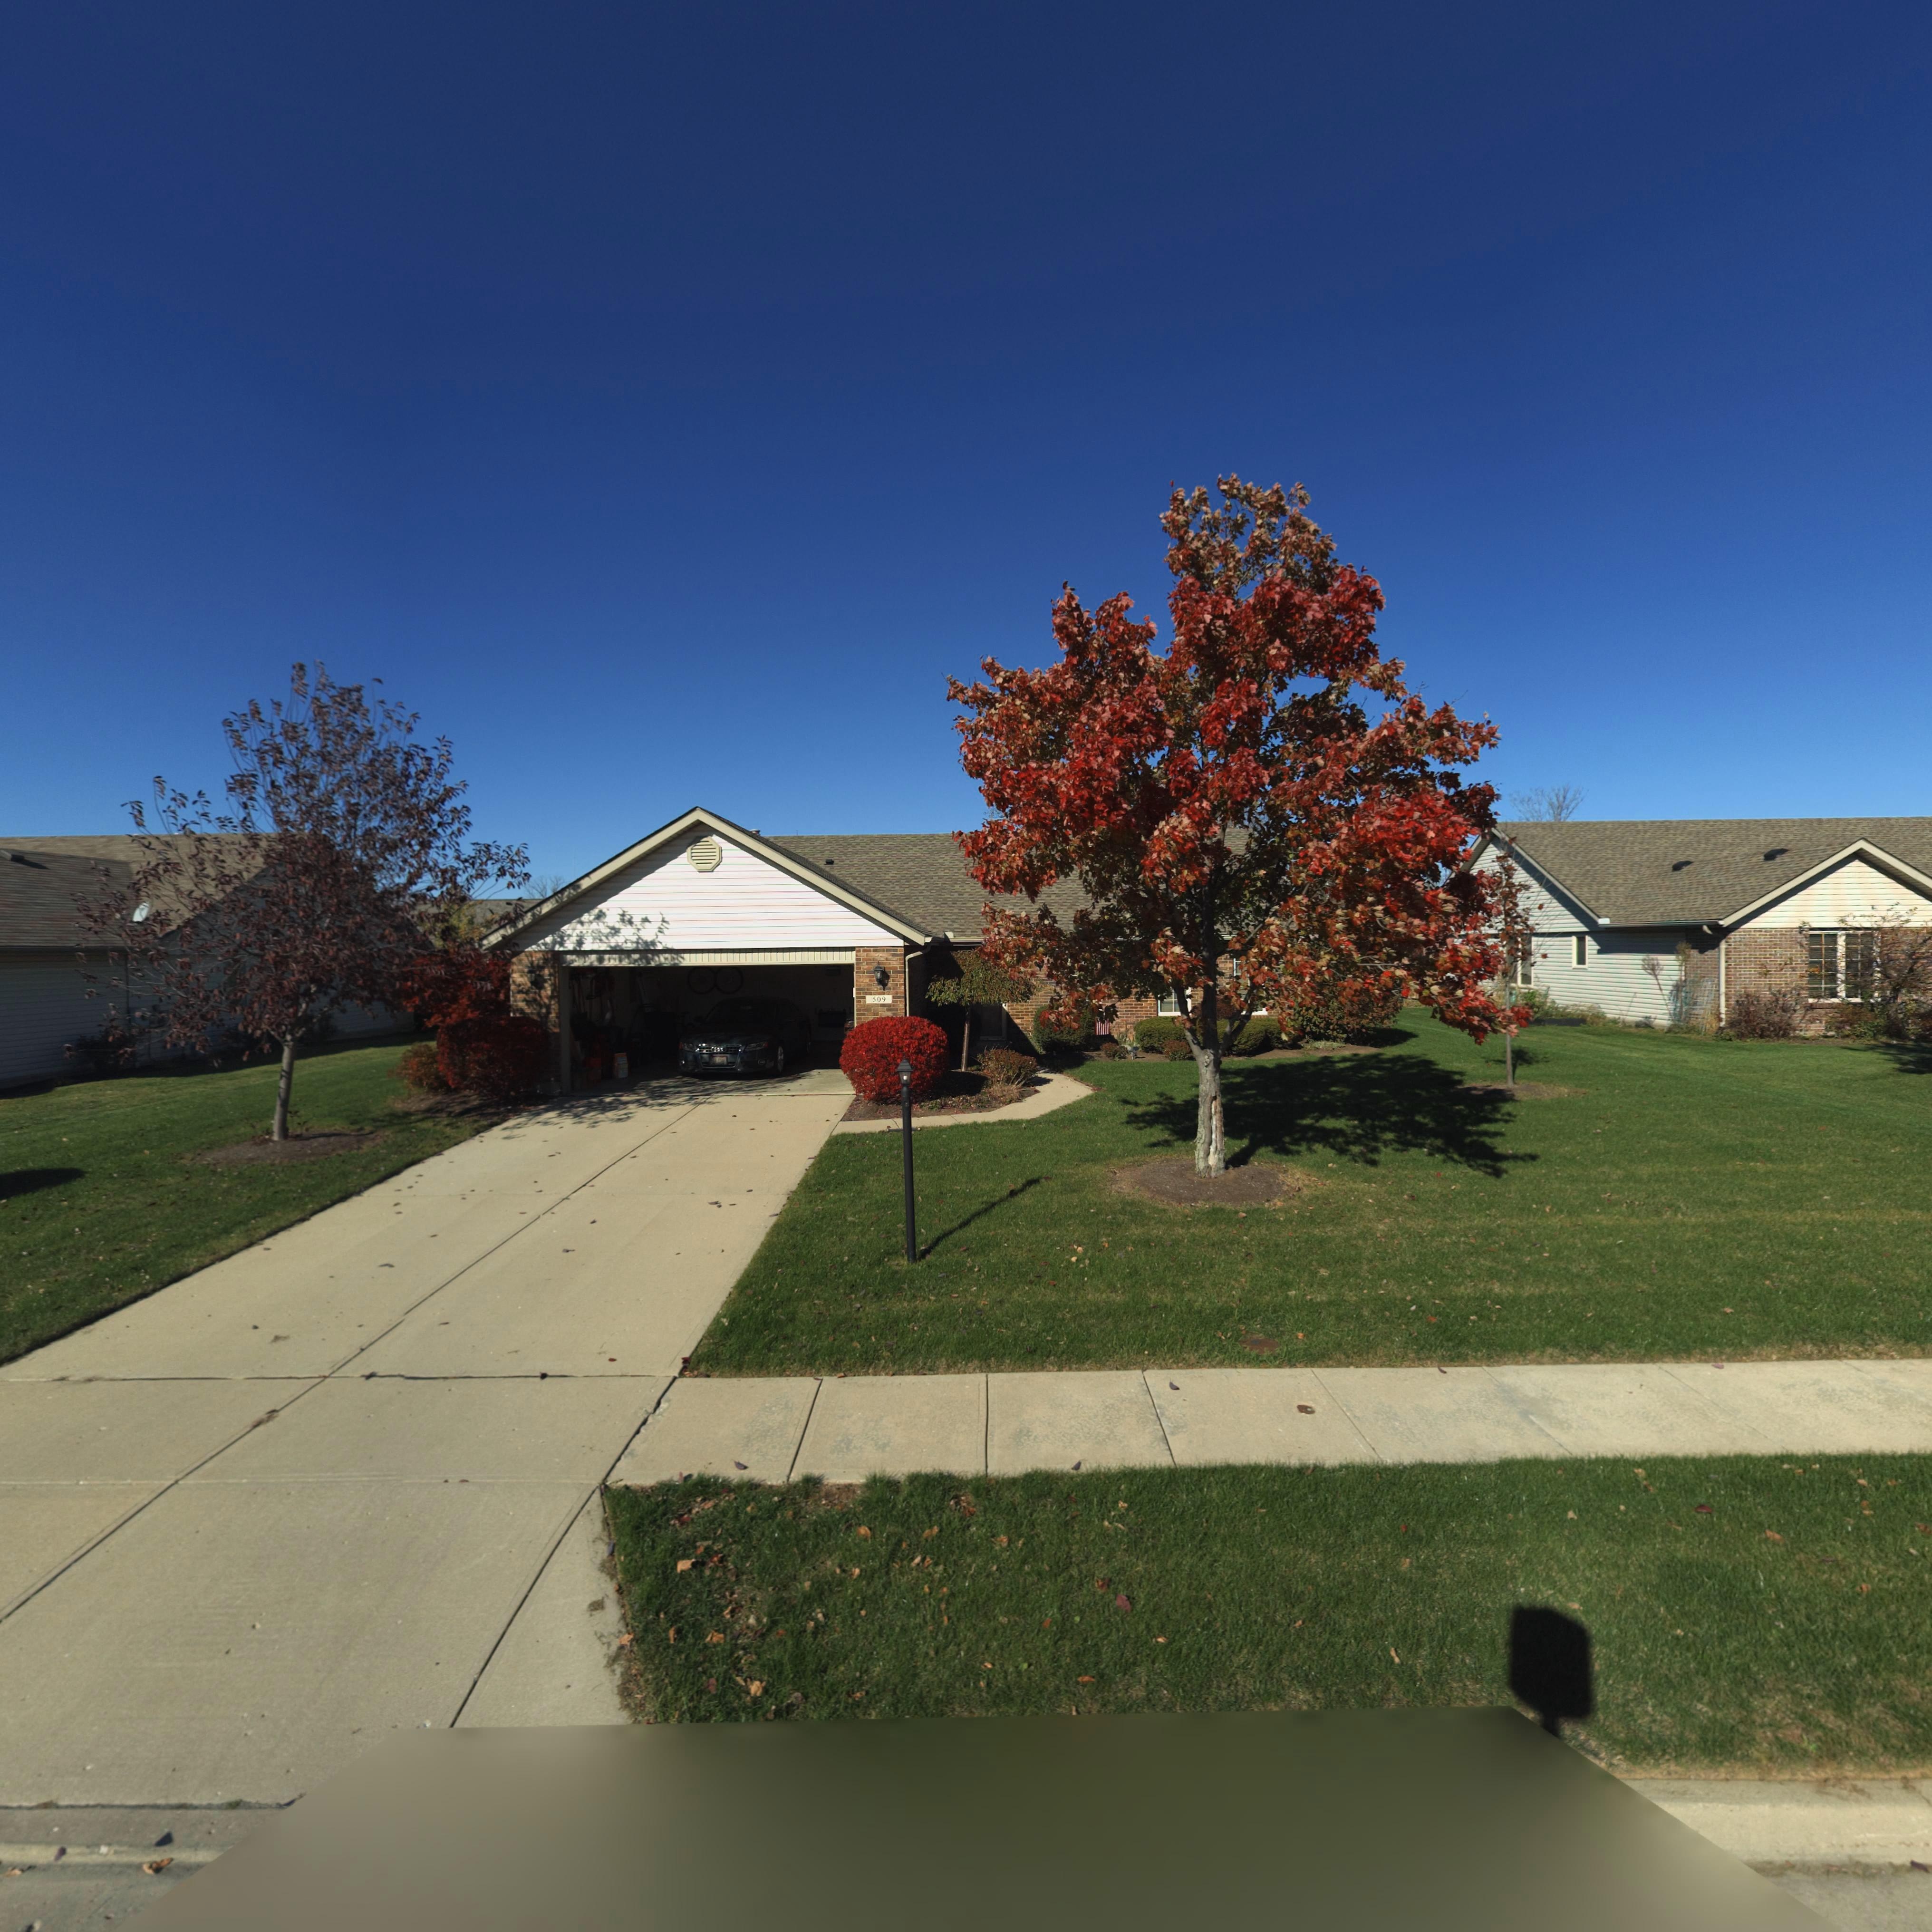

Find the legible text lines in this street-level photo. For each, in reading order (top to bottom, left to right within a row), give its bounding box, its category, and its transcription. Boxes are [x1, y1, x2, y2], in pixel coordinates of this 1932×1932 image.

[871, 995, 887, 1004] StreetNumber: 509